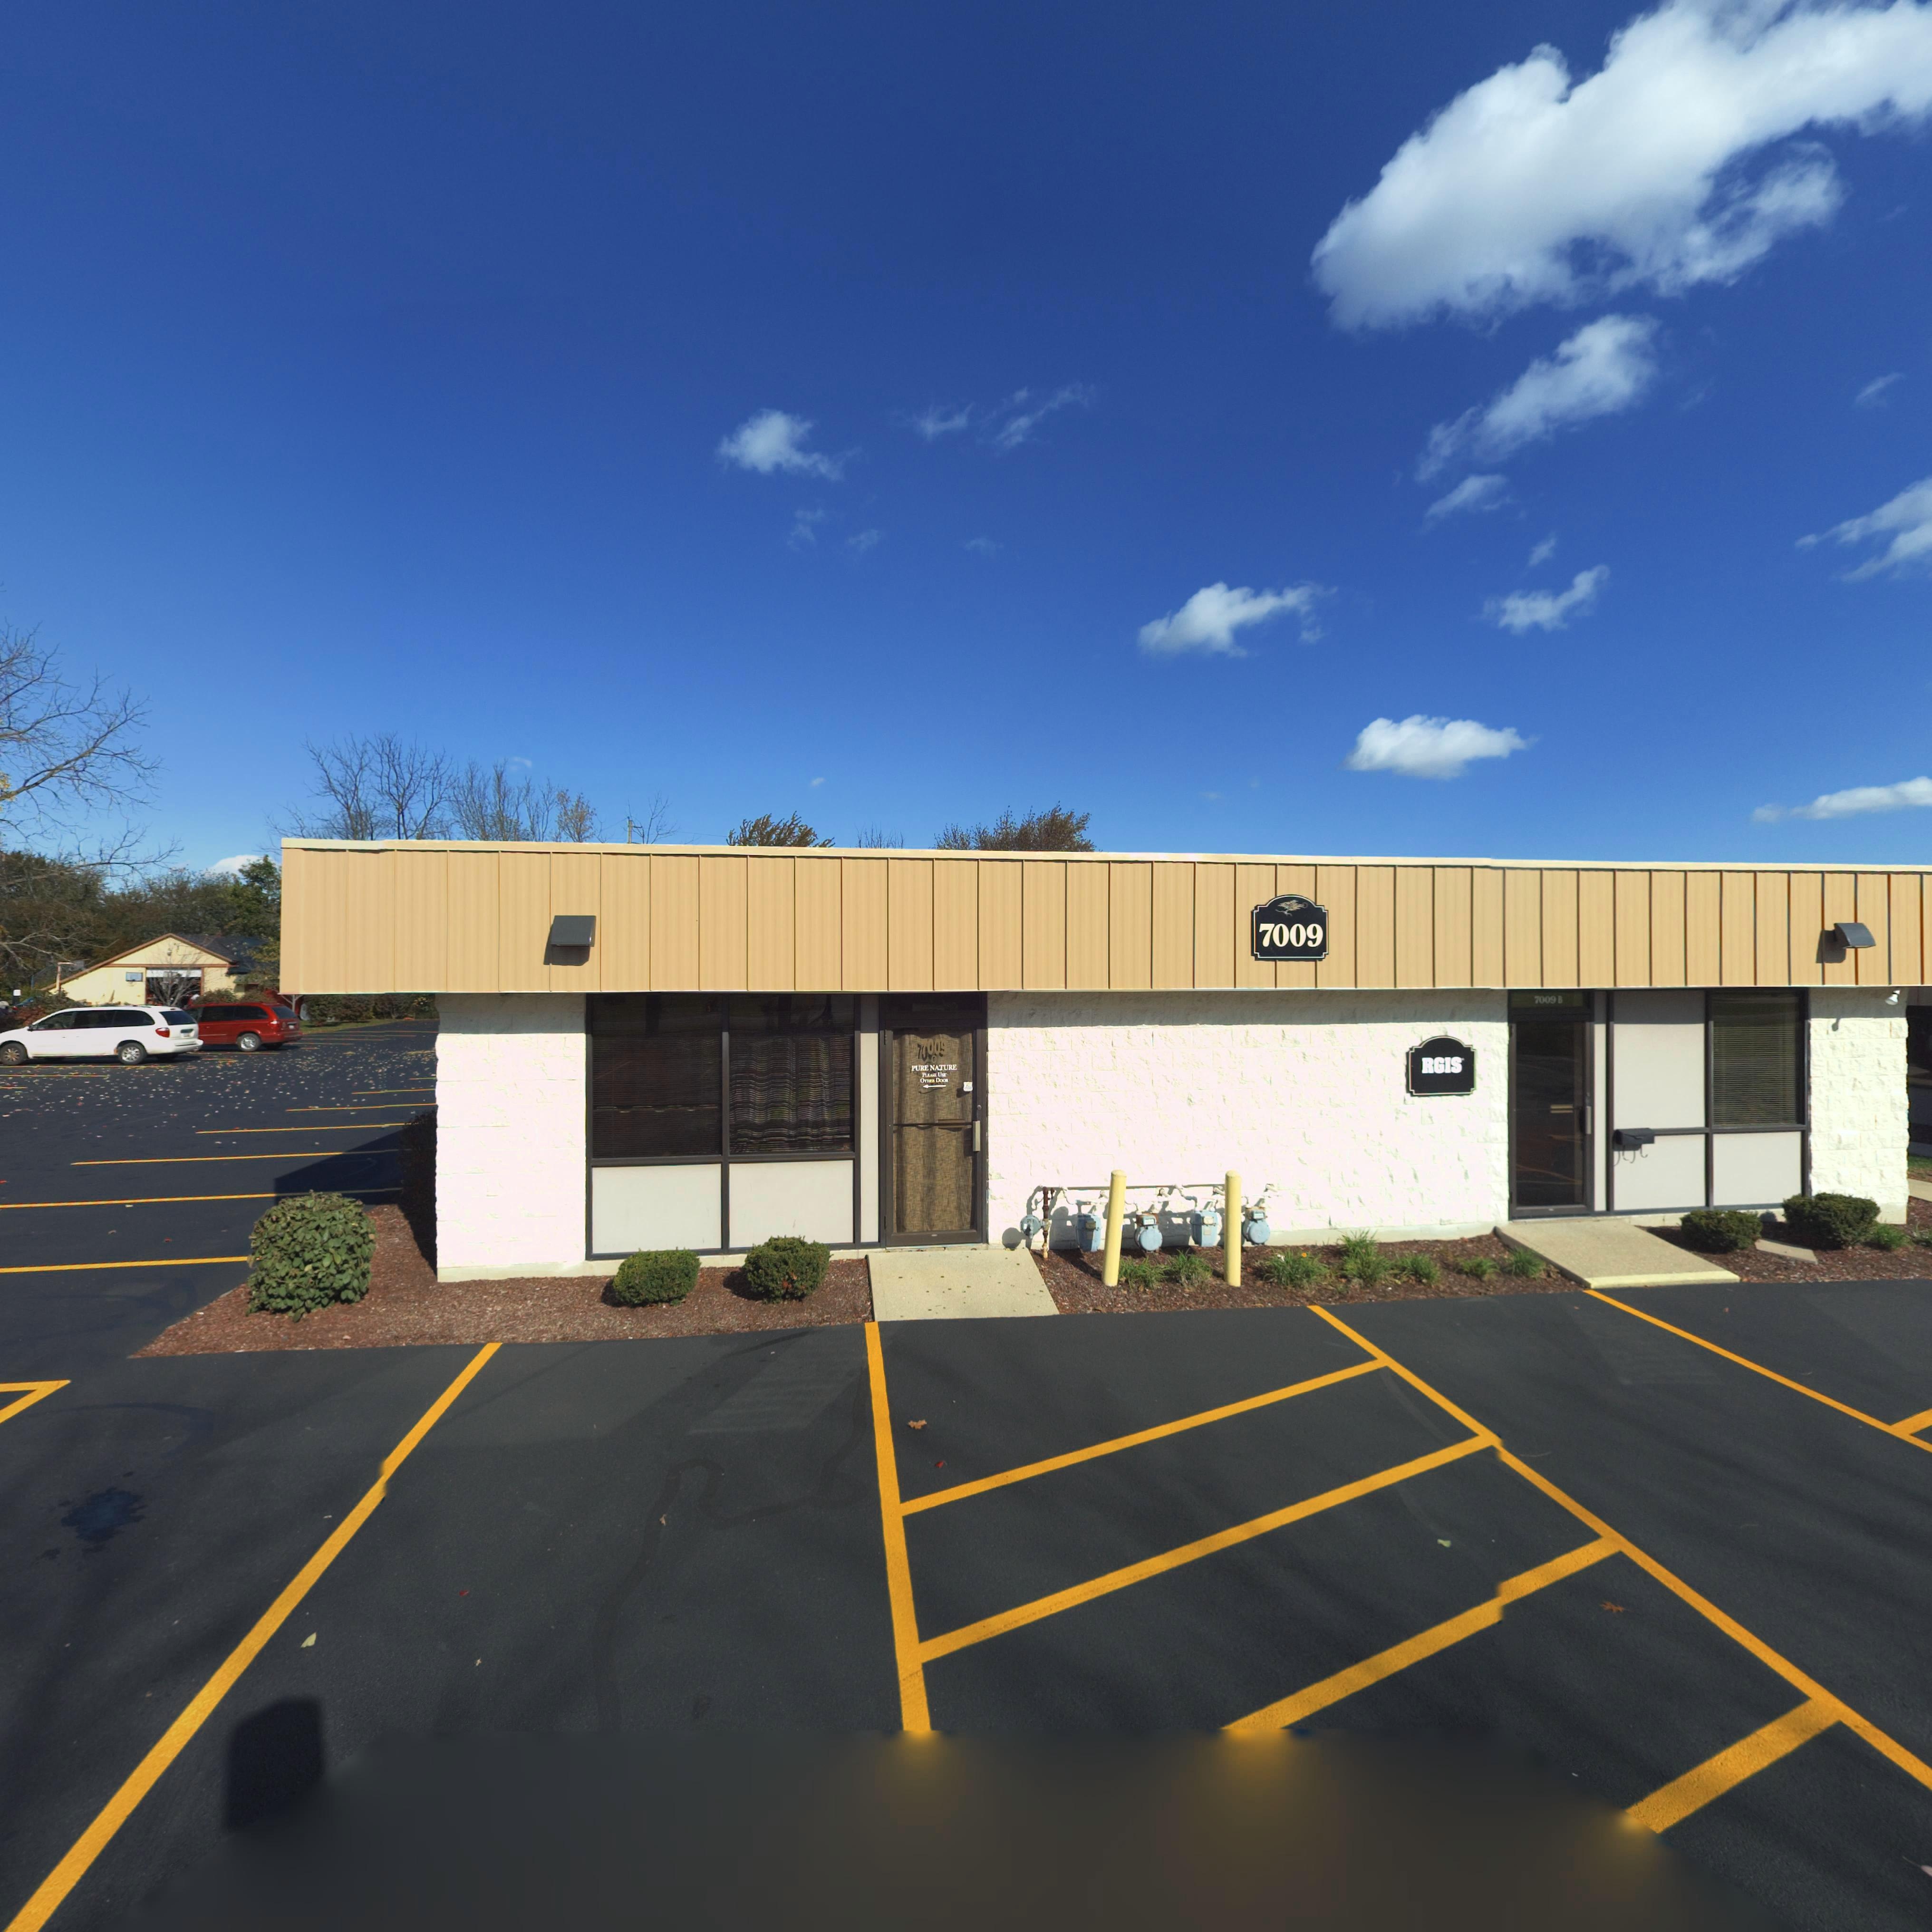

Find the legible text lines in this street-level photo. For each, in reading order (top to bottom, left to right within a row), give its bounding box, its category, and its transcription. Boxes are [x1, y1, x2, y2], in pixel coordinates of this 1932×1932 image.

[1257, 921, 1326, 949] StreetNumber: 7009
[1533, 994, 1564, 1005] StreetNumber: 7009 B
[918, 1036, 949, 1056] StreetNumber: 7009